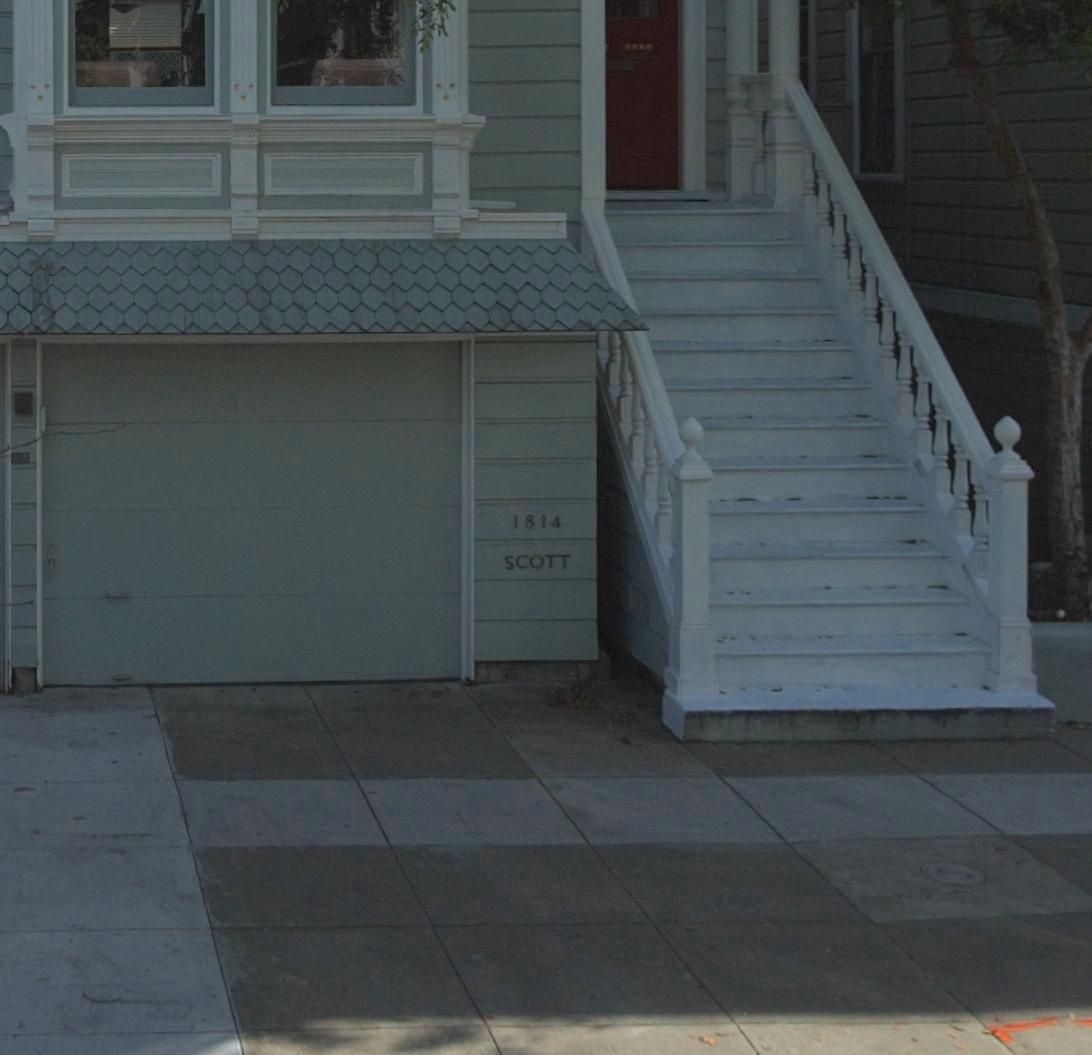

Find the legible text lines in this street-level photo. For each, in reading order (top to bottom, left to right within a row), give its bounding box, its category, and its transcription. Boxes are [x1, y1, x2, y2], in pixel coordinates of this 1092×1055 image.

[511, 512, 563, 532] StreetNumber: 1814
[501, 552, 573, 573] StreetName: SCOTT